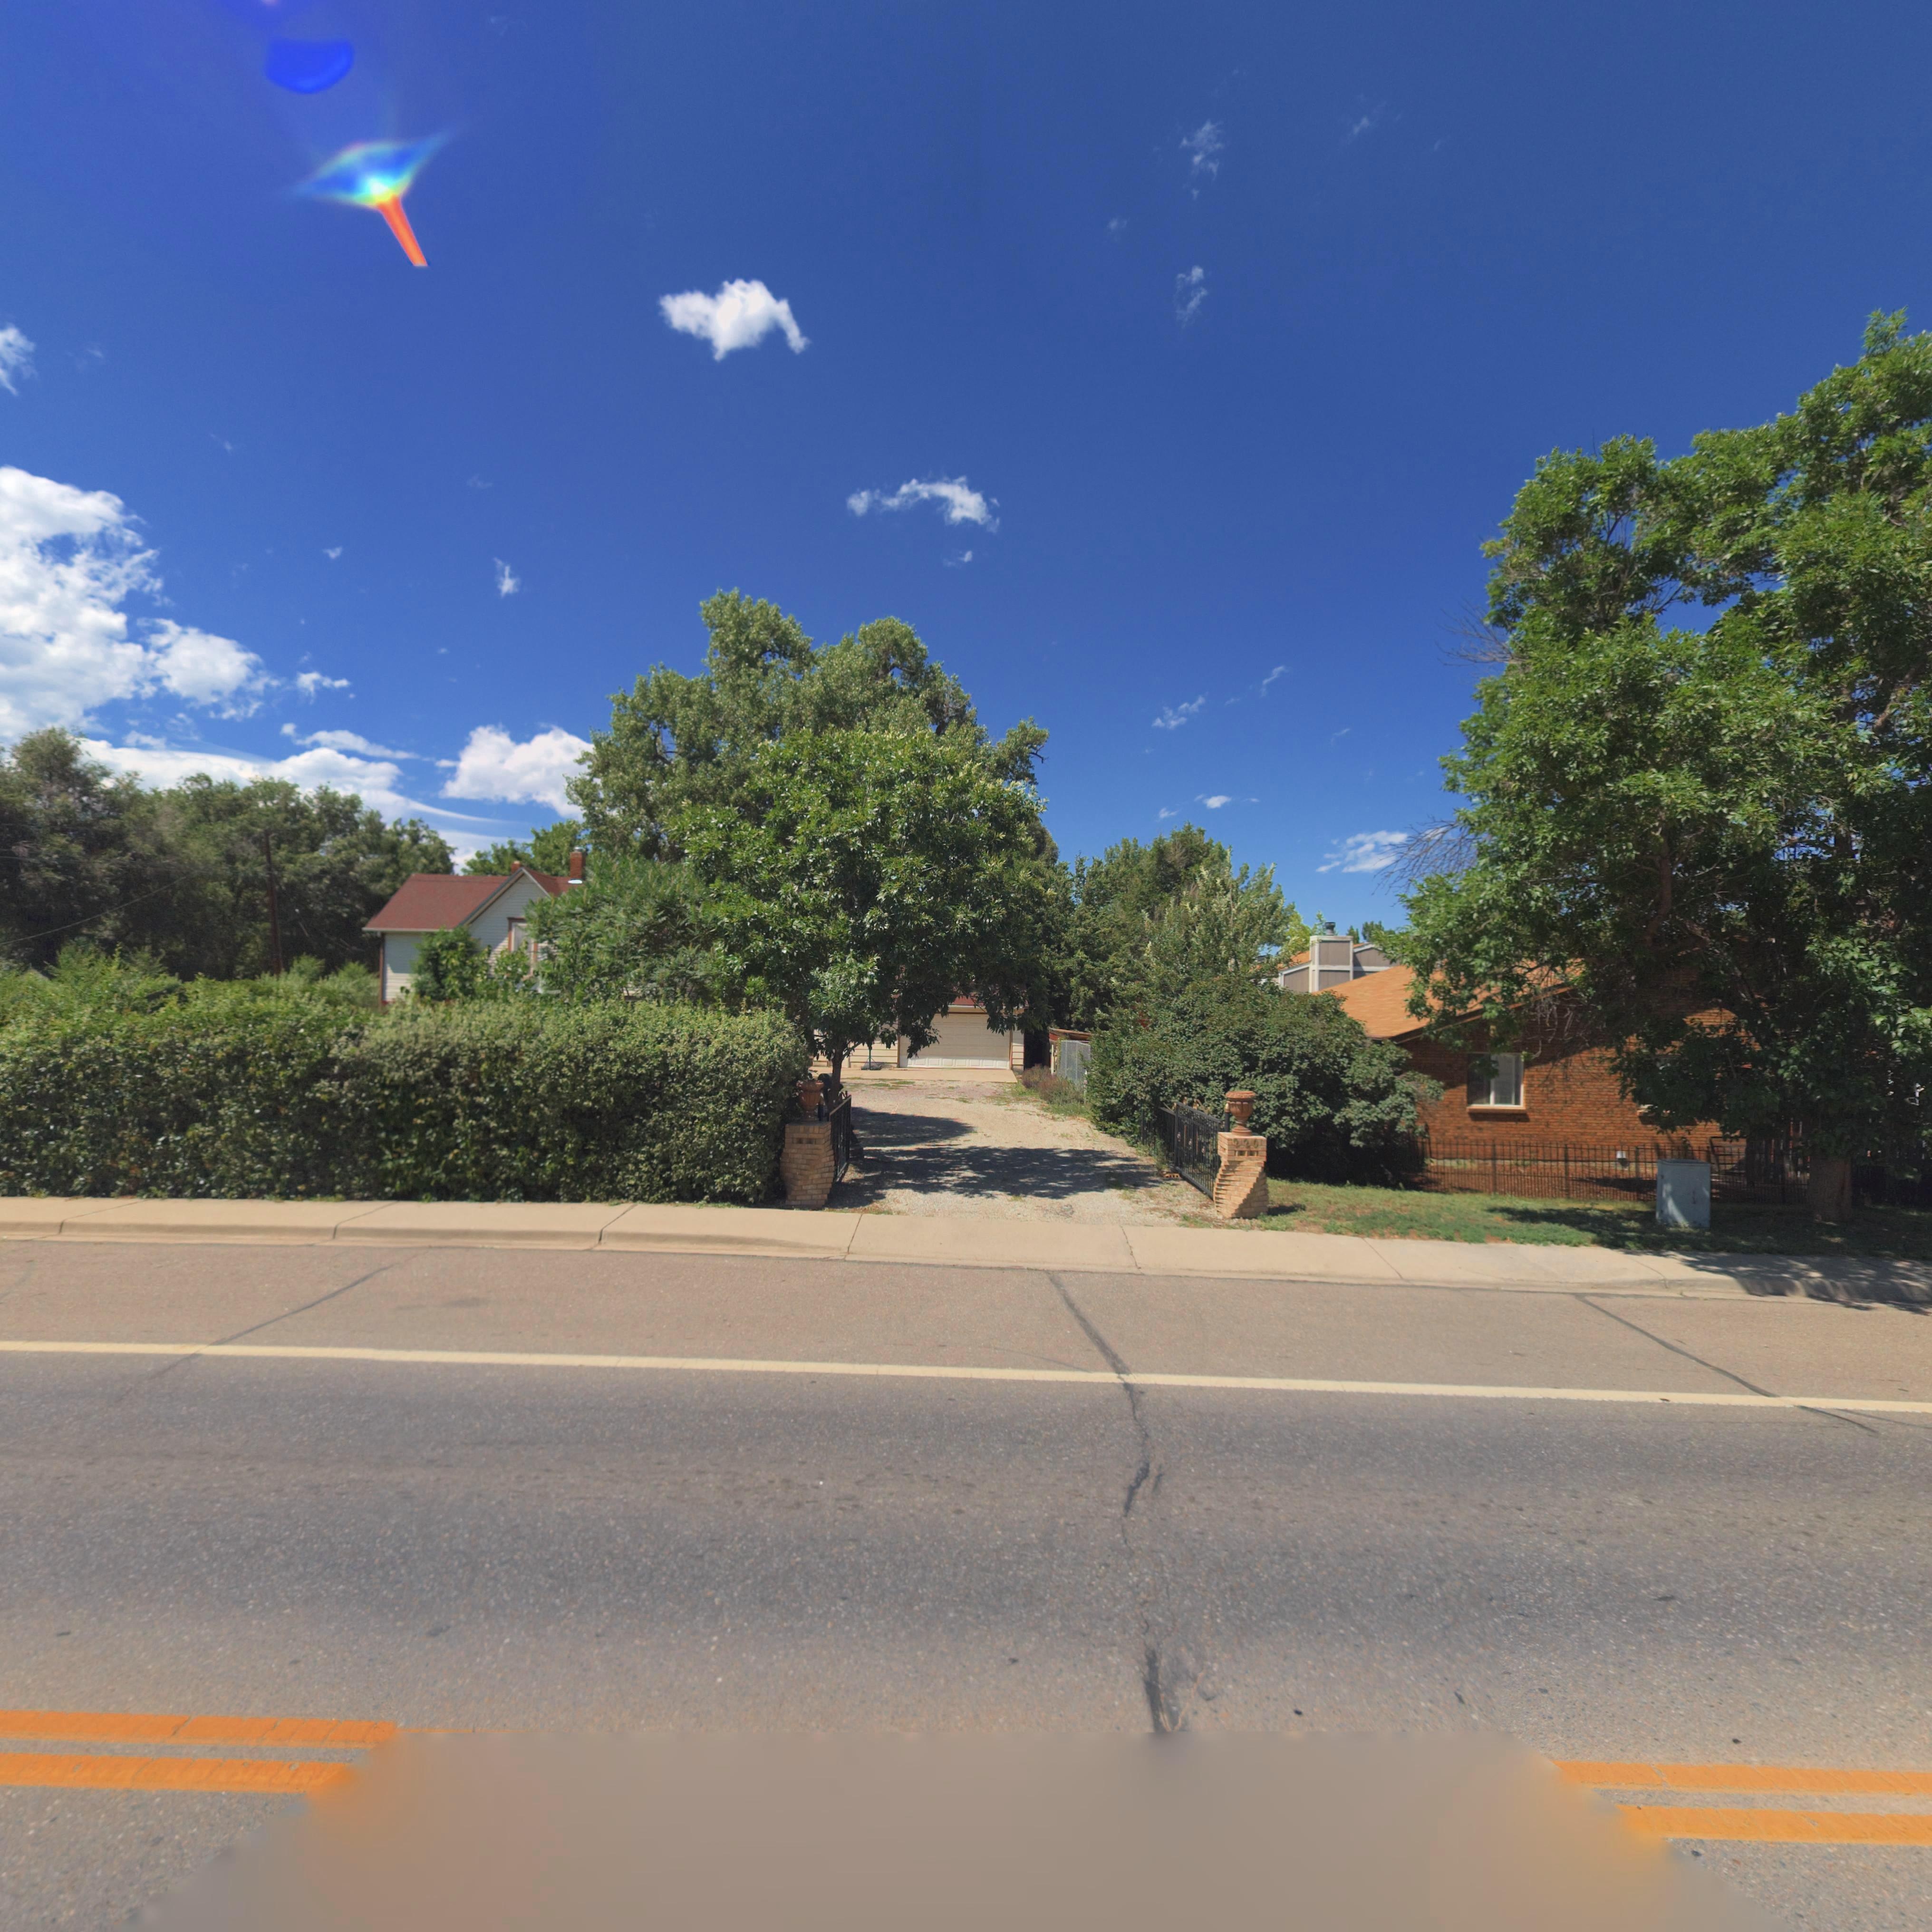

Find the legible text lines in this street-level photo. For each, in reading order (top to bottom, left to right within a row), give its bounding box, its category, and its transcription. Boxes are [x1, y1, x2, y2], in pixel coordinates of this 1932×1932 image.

[1232, 1138, 1259, 1149] StreetNumber: 220